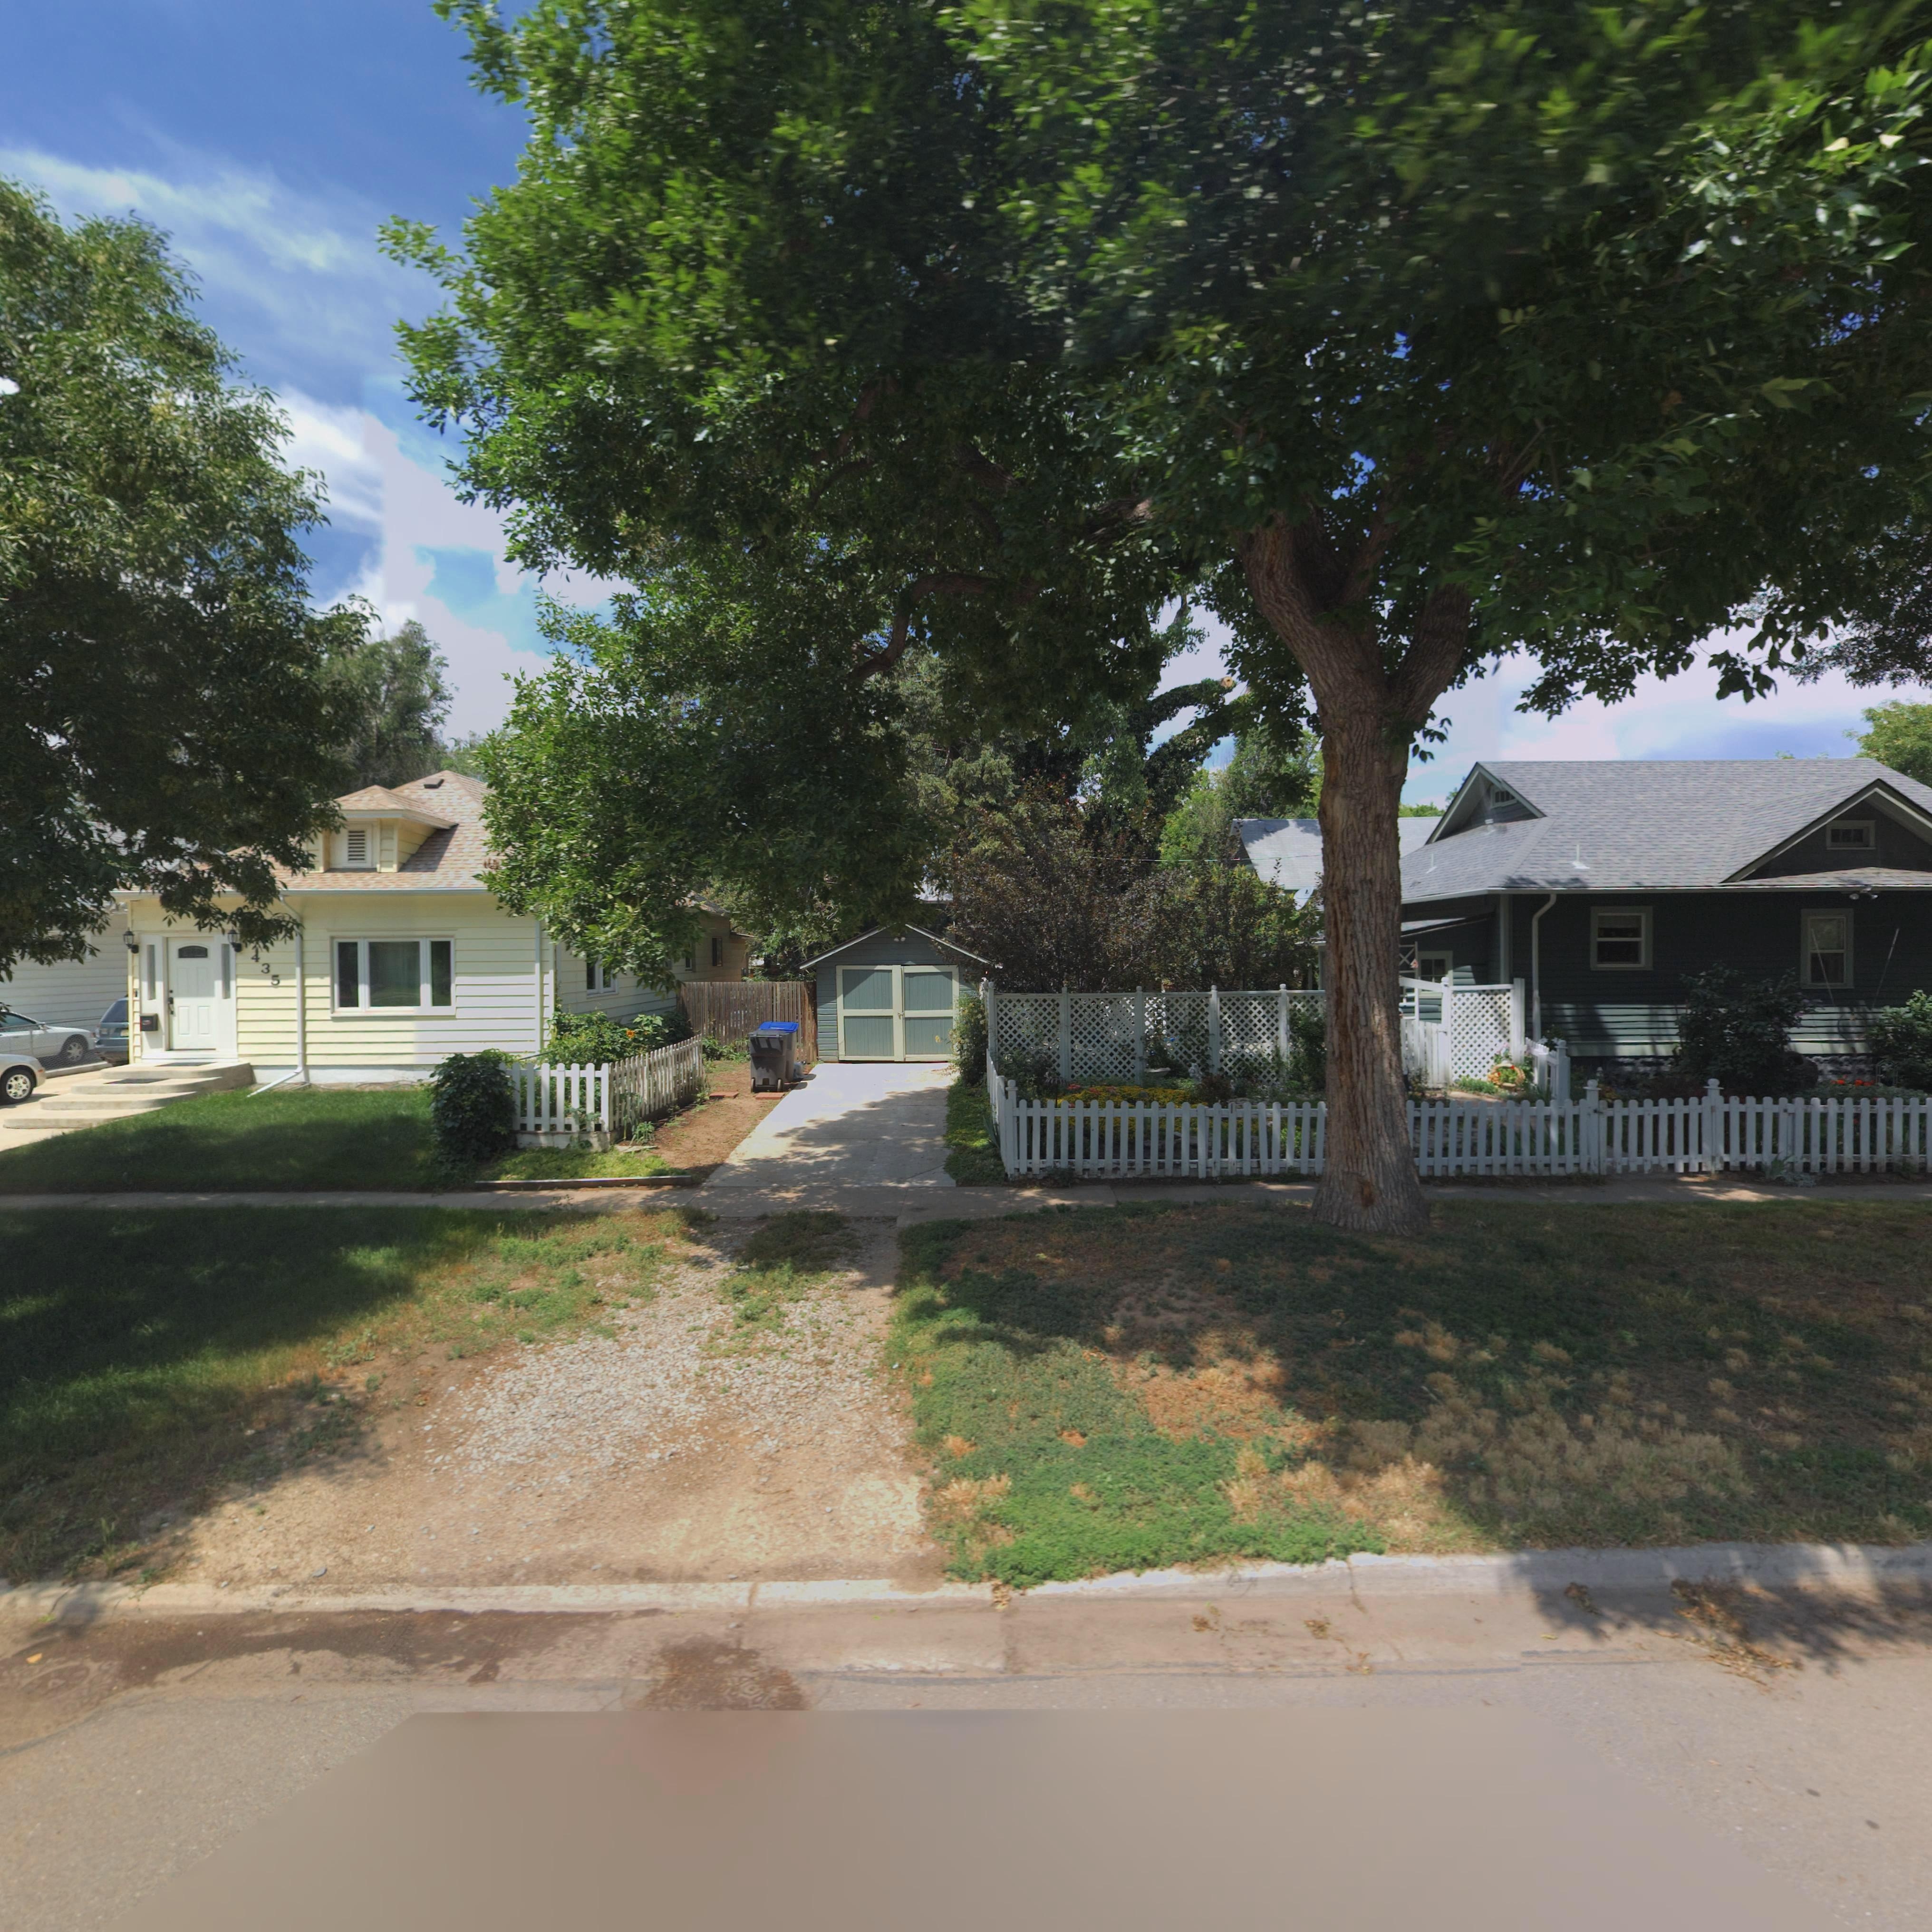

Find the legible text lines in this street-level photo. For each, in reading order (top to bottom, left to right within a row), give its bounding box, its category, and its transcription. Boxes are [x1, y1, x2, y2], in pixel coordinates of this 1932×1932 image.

[250, 952, 280, 986] StreetNumber: 435